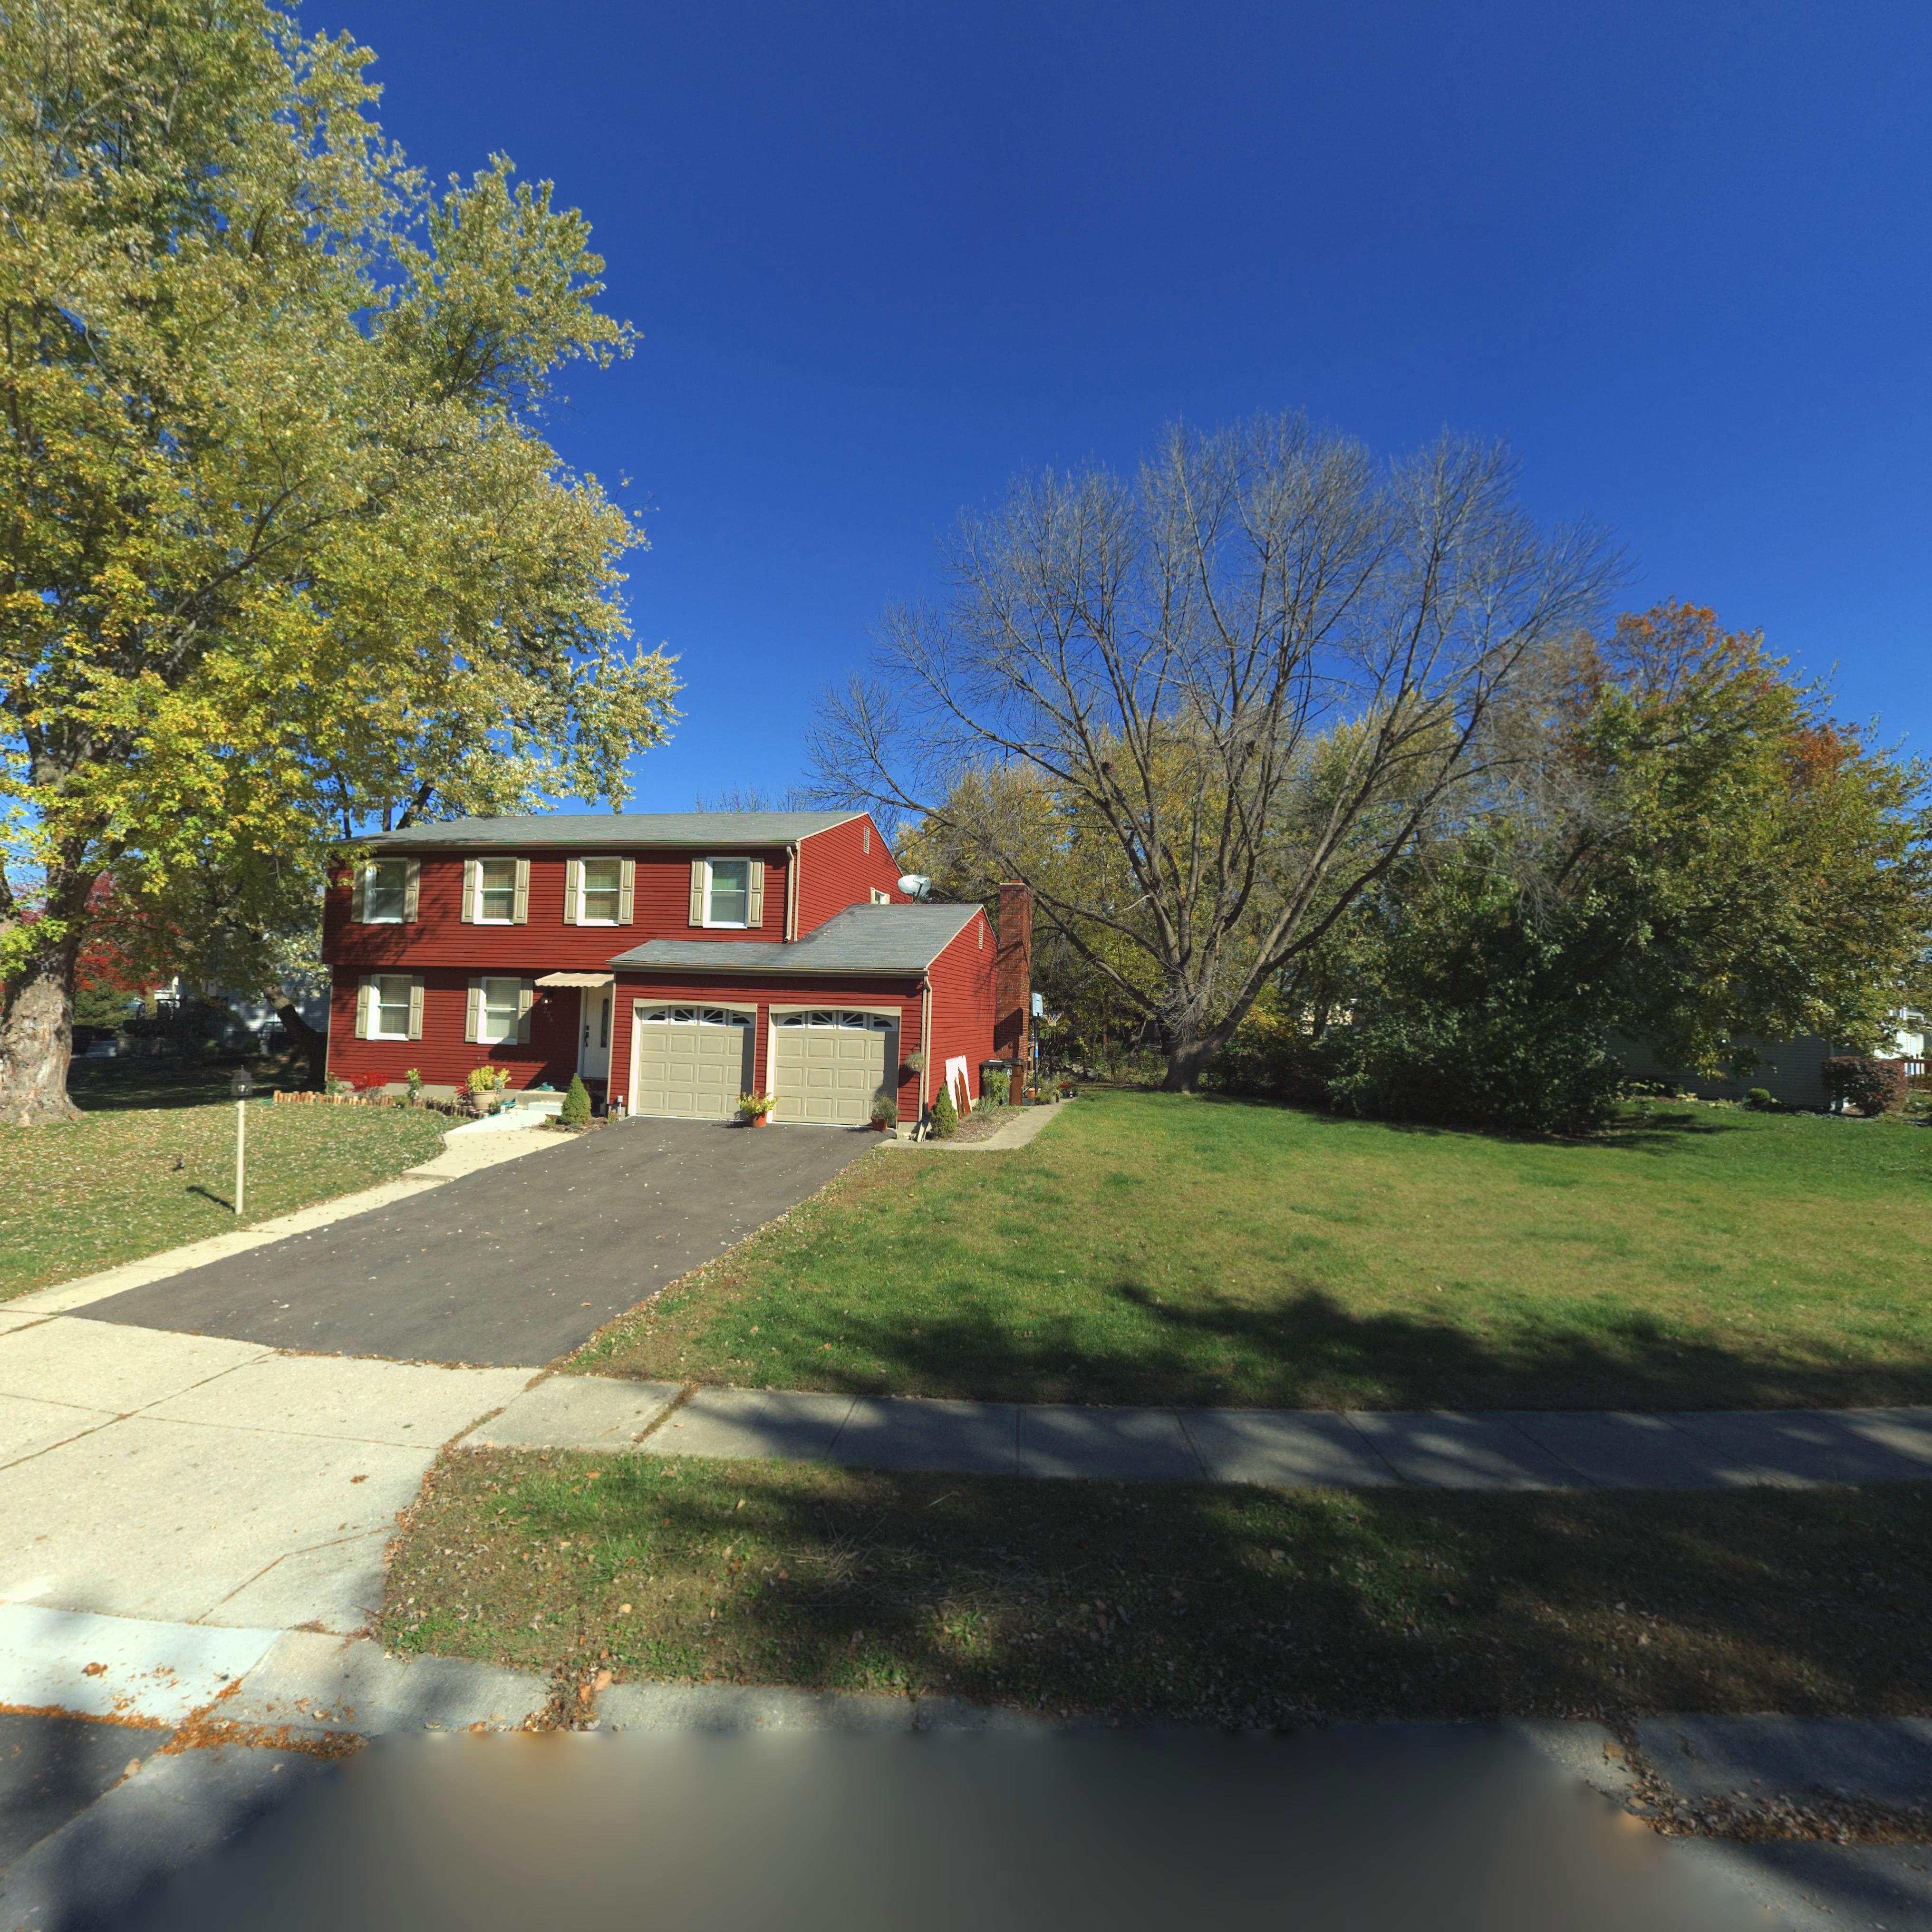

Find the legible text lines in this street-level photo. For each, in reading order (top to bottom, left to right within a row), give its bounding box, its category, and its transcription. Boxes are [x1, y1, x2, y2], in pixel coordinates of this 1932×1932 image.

[541, 1005, 554, 1024] StreetNumber: 208